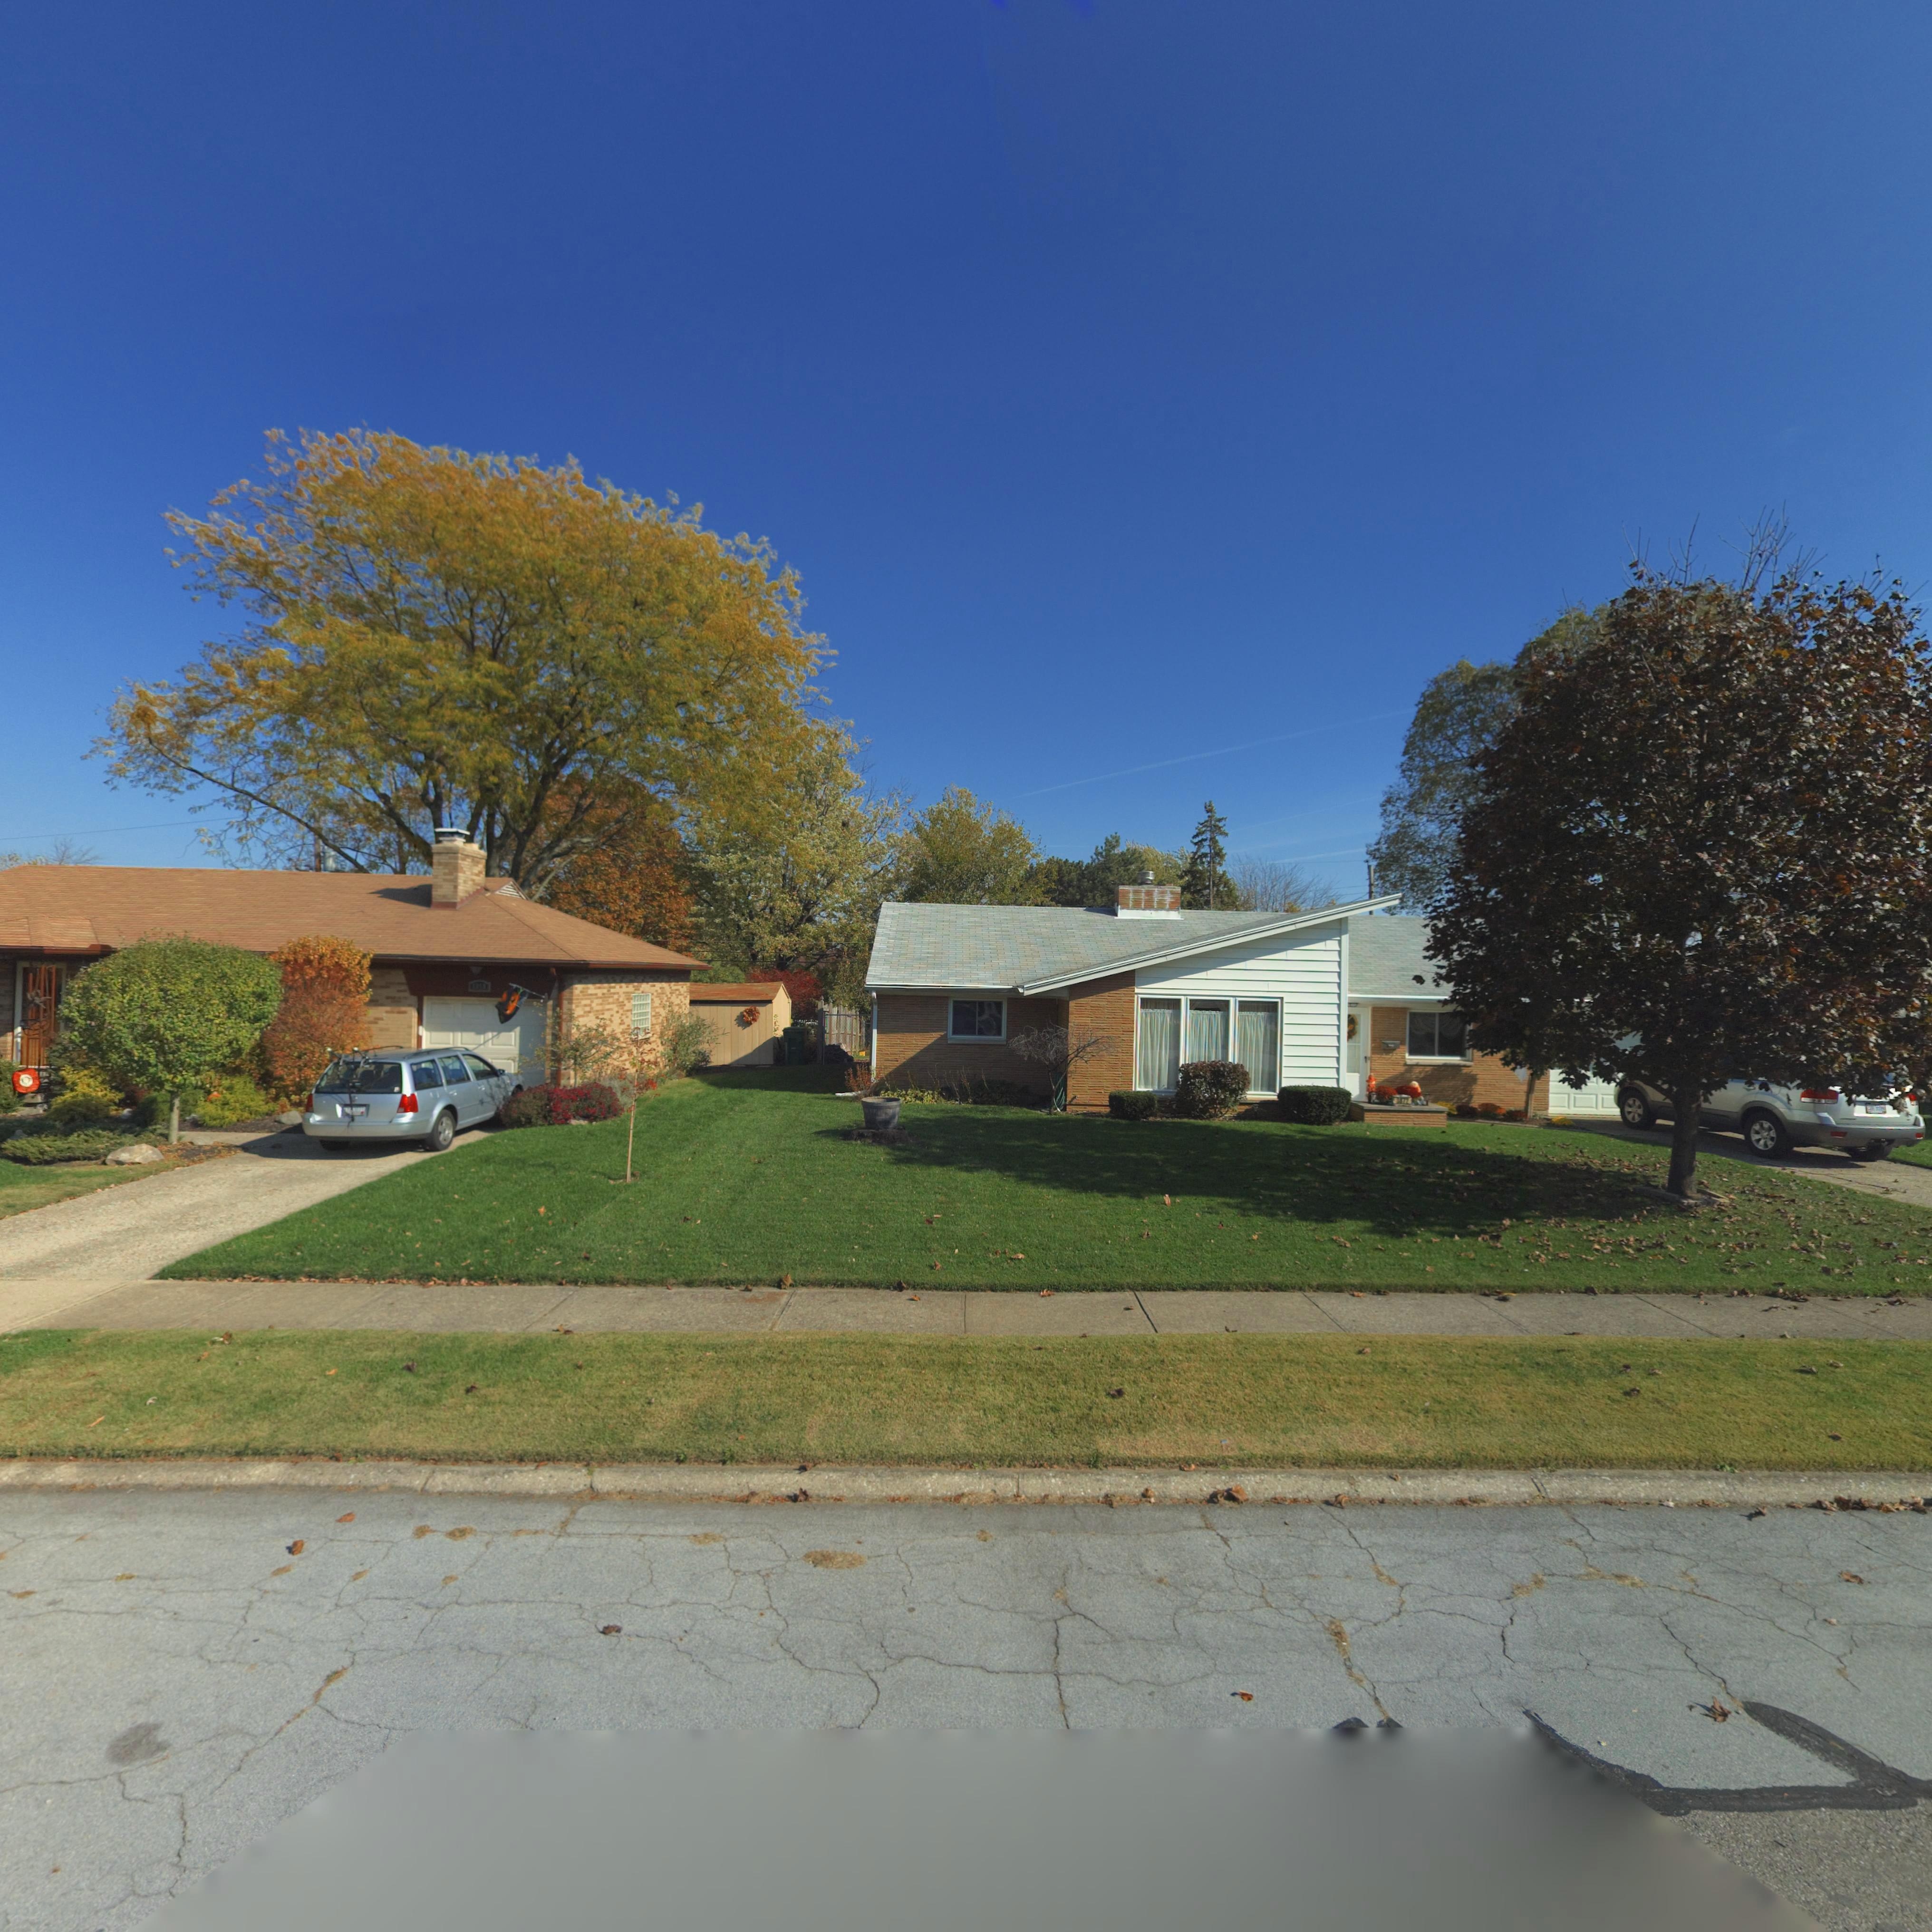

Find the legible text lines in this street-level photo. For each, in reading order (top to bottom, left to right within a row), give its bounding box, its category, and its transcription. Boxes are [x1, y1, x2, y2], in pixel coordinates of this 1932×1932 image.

[472, 983, 486, 989] StreetNumber: 3858